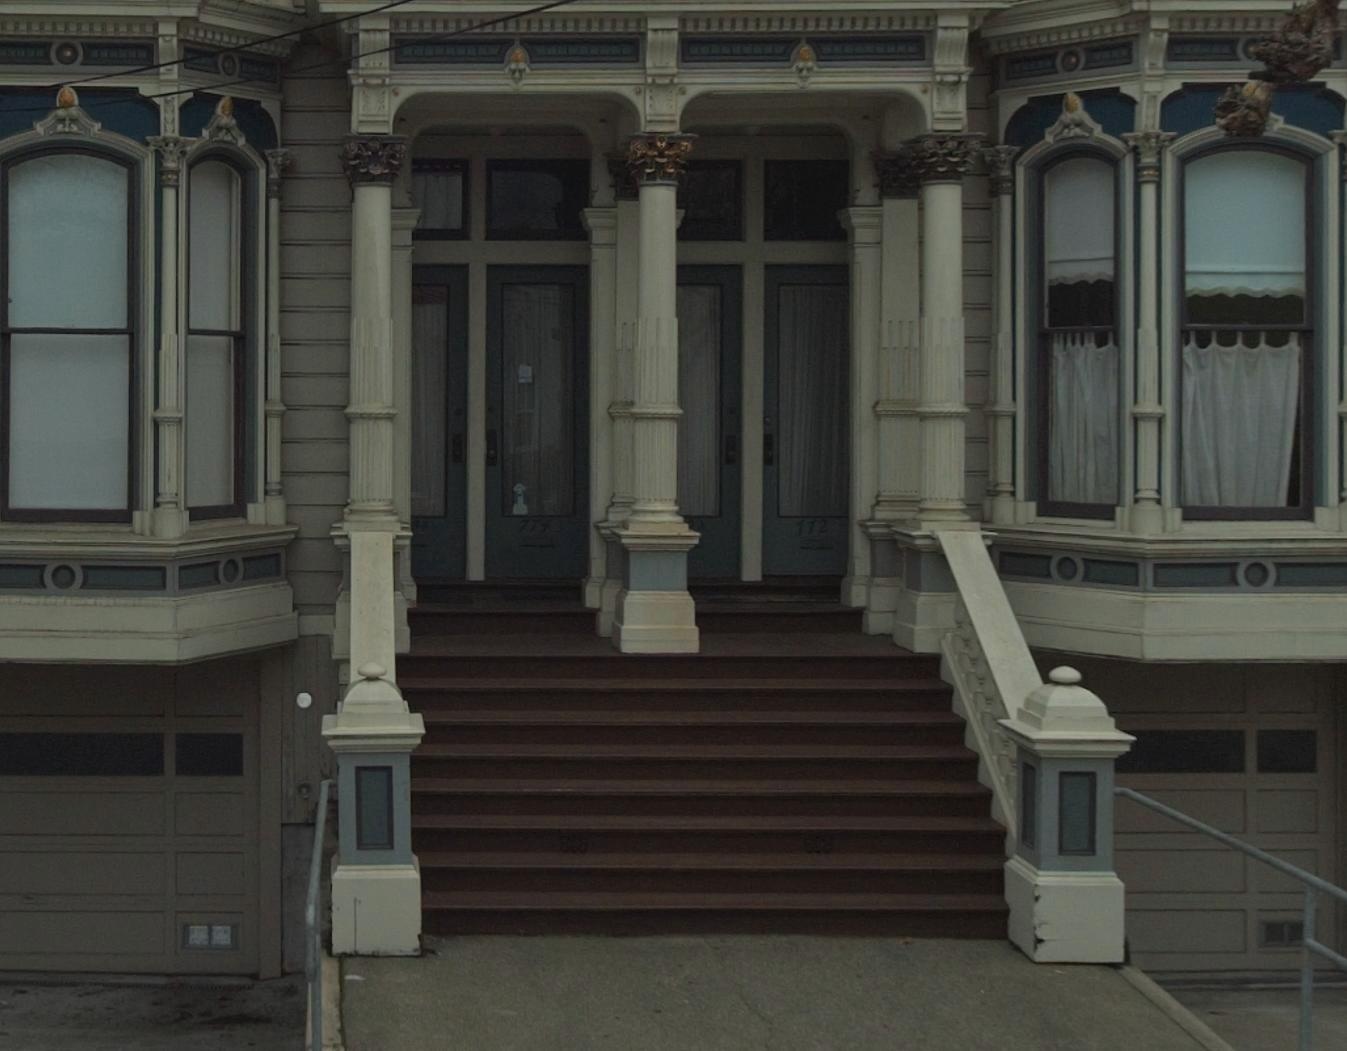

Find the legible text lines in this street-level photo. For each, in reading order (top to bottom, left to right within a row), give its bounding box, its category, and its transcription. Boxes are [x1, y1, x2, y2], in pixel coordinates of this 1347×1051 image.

[419, 520, 431, 533] StreetNumber: A
[516, 518, 553, 534] StreetNumber: 774
[695, 519, 708, 533] StreetNumber: A
[792, 517, 830, 536] StreetNumber: 772